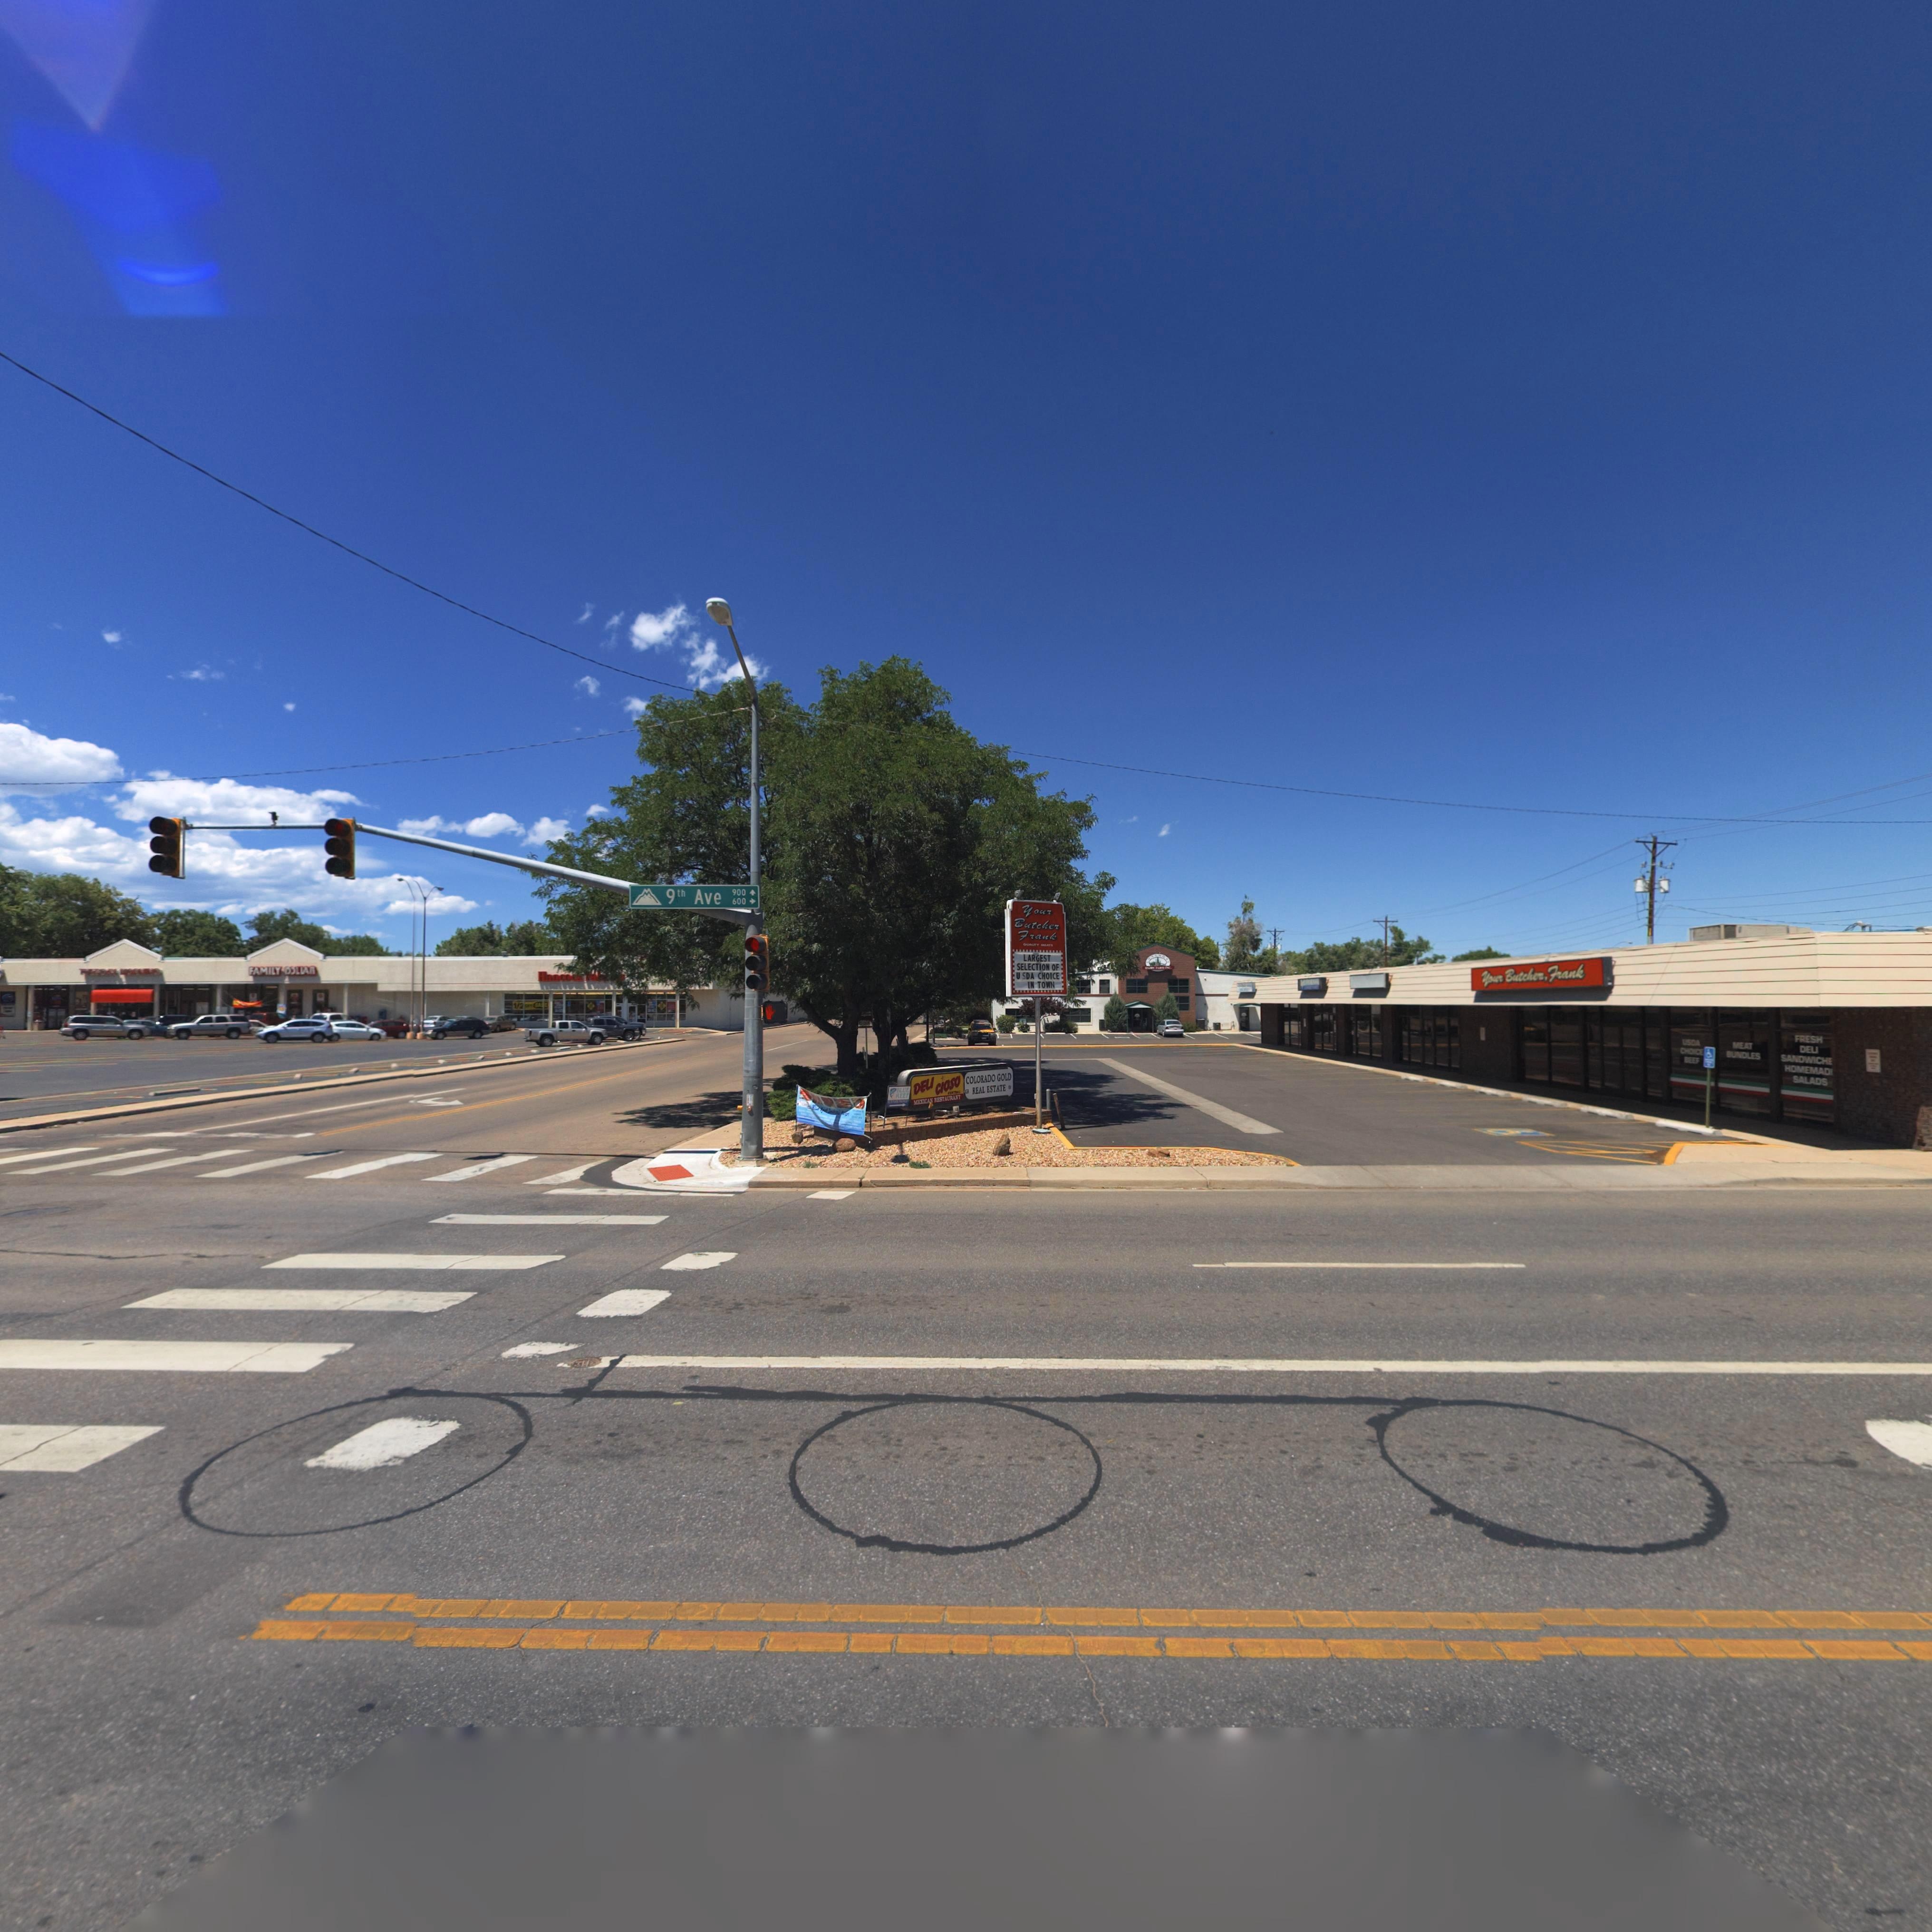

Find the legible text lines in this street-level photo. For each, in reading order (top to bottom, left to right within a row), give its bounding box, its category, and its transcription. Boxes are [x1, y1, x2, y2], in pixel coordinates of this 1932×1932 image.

[666, 888, 722, 905] StreetName: 9th Ave
[732, 888, 746, 896] StreetNumberRange: 900
[732, 897, 756, 905] StreetNumberRange: 600->
[1021, 904, 1053, 918] BusinessName: Your
[1013, 917, 1060, 930] BusinessName: Butcher
[1017, 929, 1057, 942] BusinessName: Frank
[248, 966, 316, 976] BusinessName: FAMILY D*LLAR
[537, 969, 584, 982] BusinessName: Hanco**
[1480, 962, 1586, 987] BusinessName: Your Butcher, Frank
[965, 1072, 1012, 1084] BusinessName: COLORADO GOLD
[887, 1100, 908, 1103] BusinessName: SEAFOOD MARKET
[895, 1092, 909, 1099] BusinessName: REEF
[896, 1087, 909, 1092] BusinessName: BLUE
[913, 1076, 935, 1096] BusinessName: DELI
[913, 1094, 961, 1105] BusinessName: MEXICAN RESTAURANT
[934, 1075, 960, 1095] BusinessName: CIOSO
[947, 1090, 961, 1095] BusinessName: CENTRAL
[971, 1084, 1006, 1094] BusinessName: REAL ESTATE
[810, 1104, 850, 1117] BusinessName: *** **** S*****d M*****